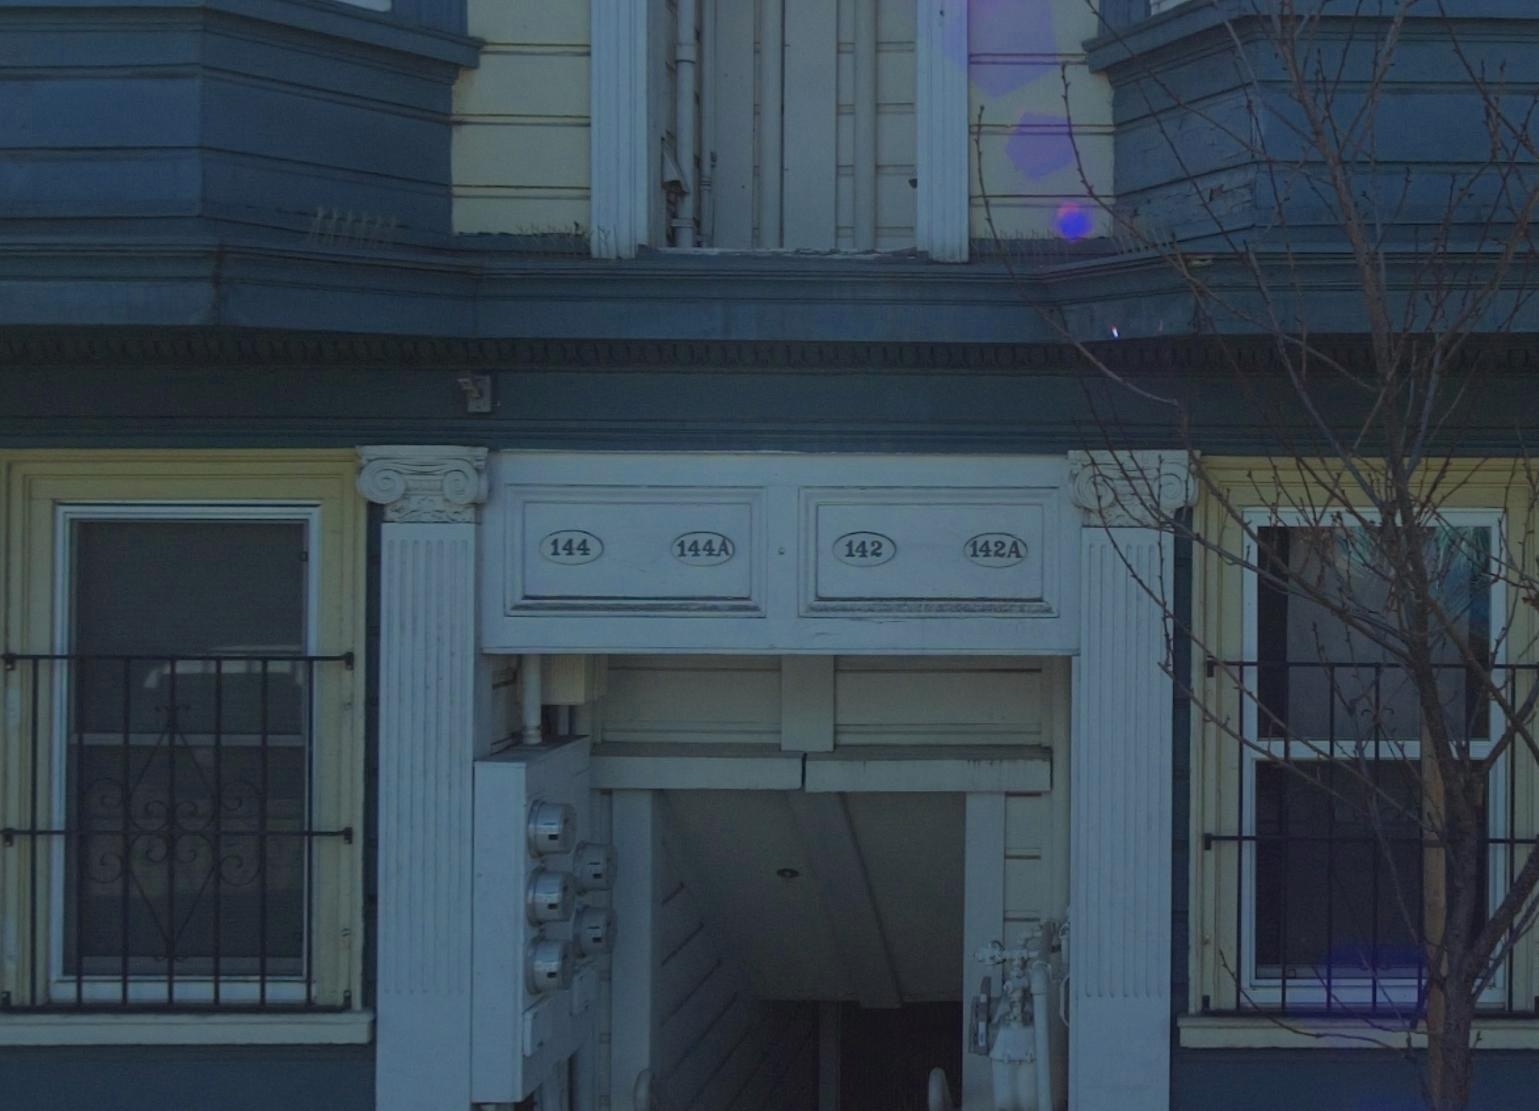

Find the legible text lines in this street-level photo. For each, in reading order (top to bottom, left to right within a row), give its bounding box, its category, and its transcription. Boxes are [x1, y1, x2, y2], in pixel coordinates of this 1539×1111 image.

[547, 534, 593, 561] StreetNumber: 144
[673, 535, 734, 561] StreetNumber: 144A
[842, 537, 886, 561] StreetNumber: 142
[966, 537, 1026, 562] StreetNumber: 142A